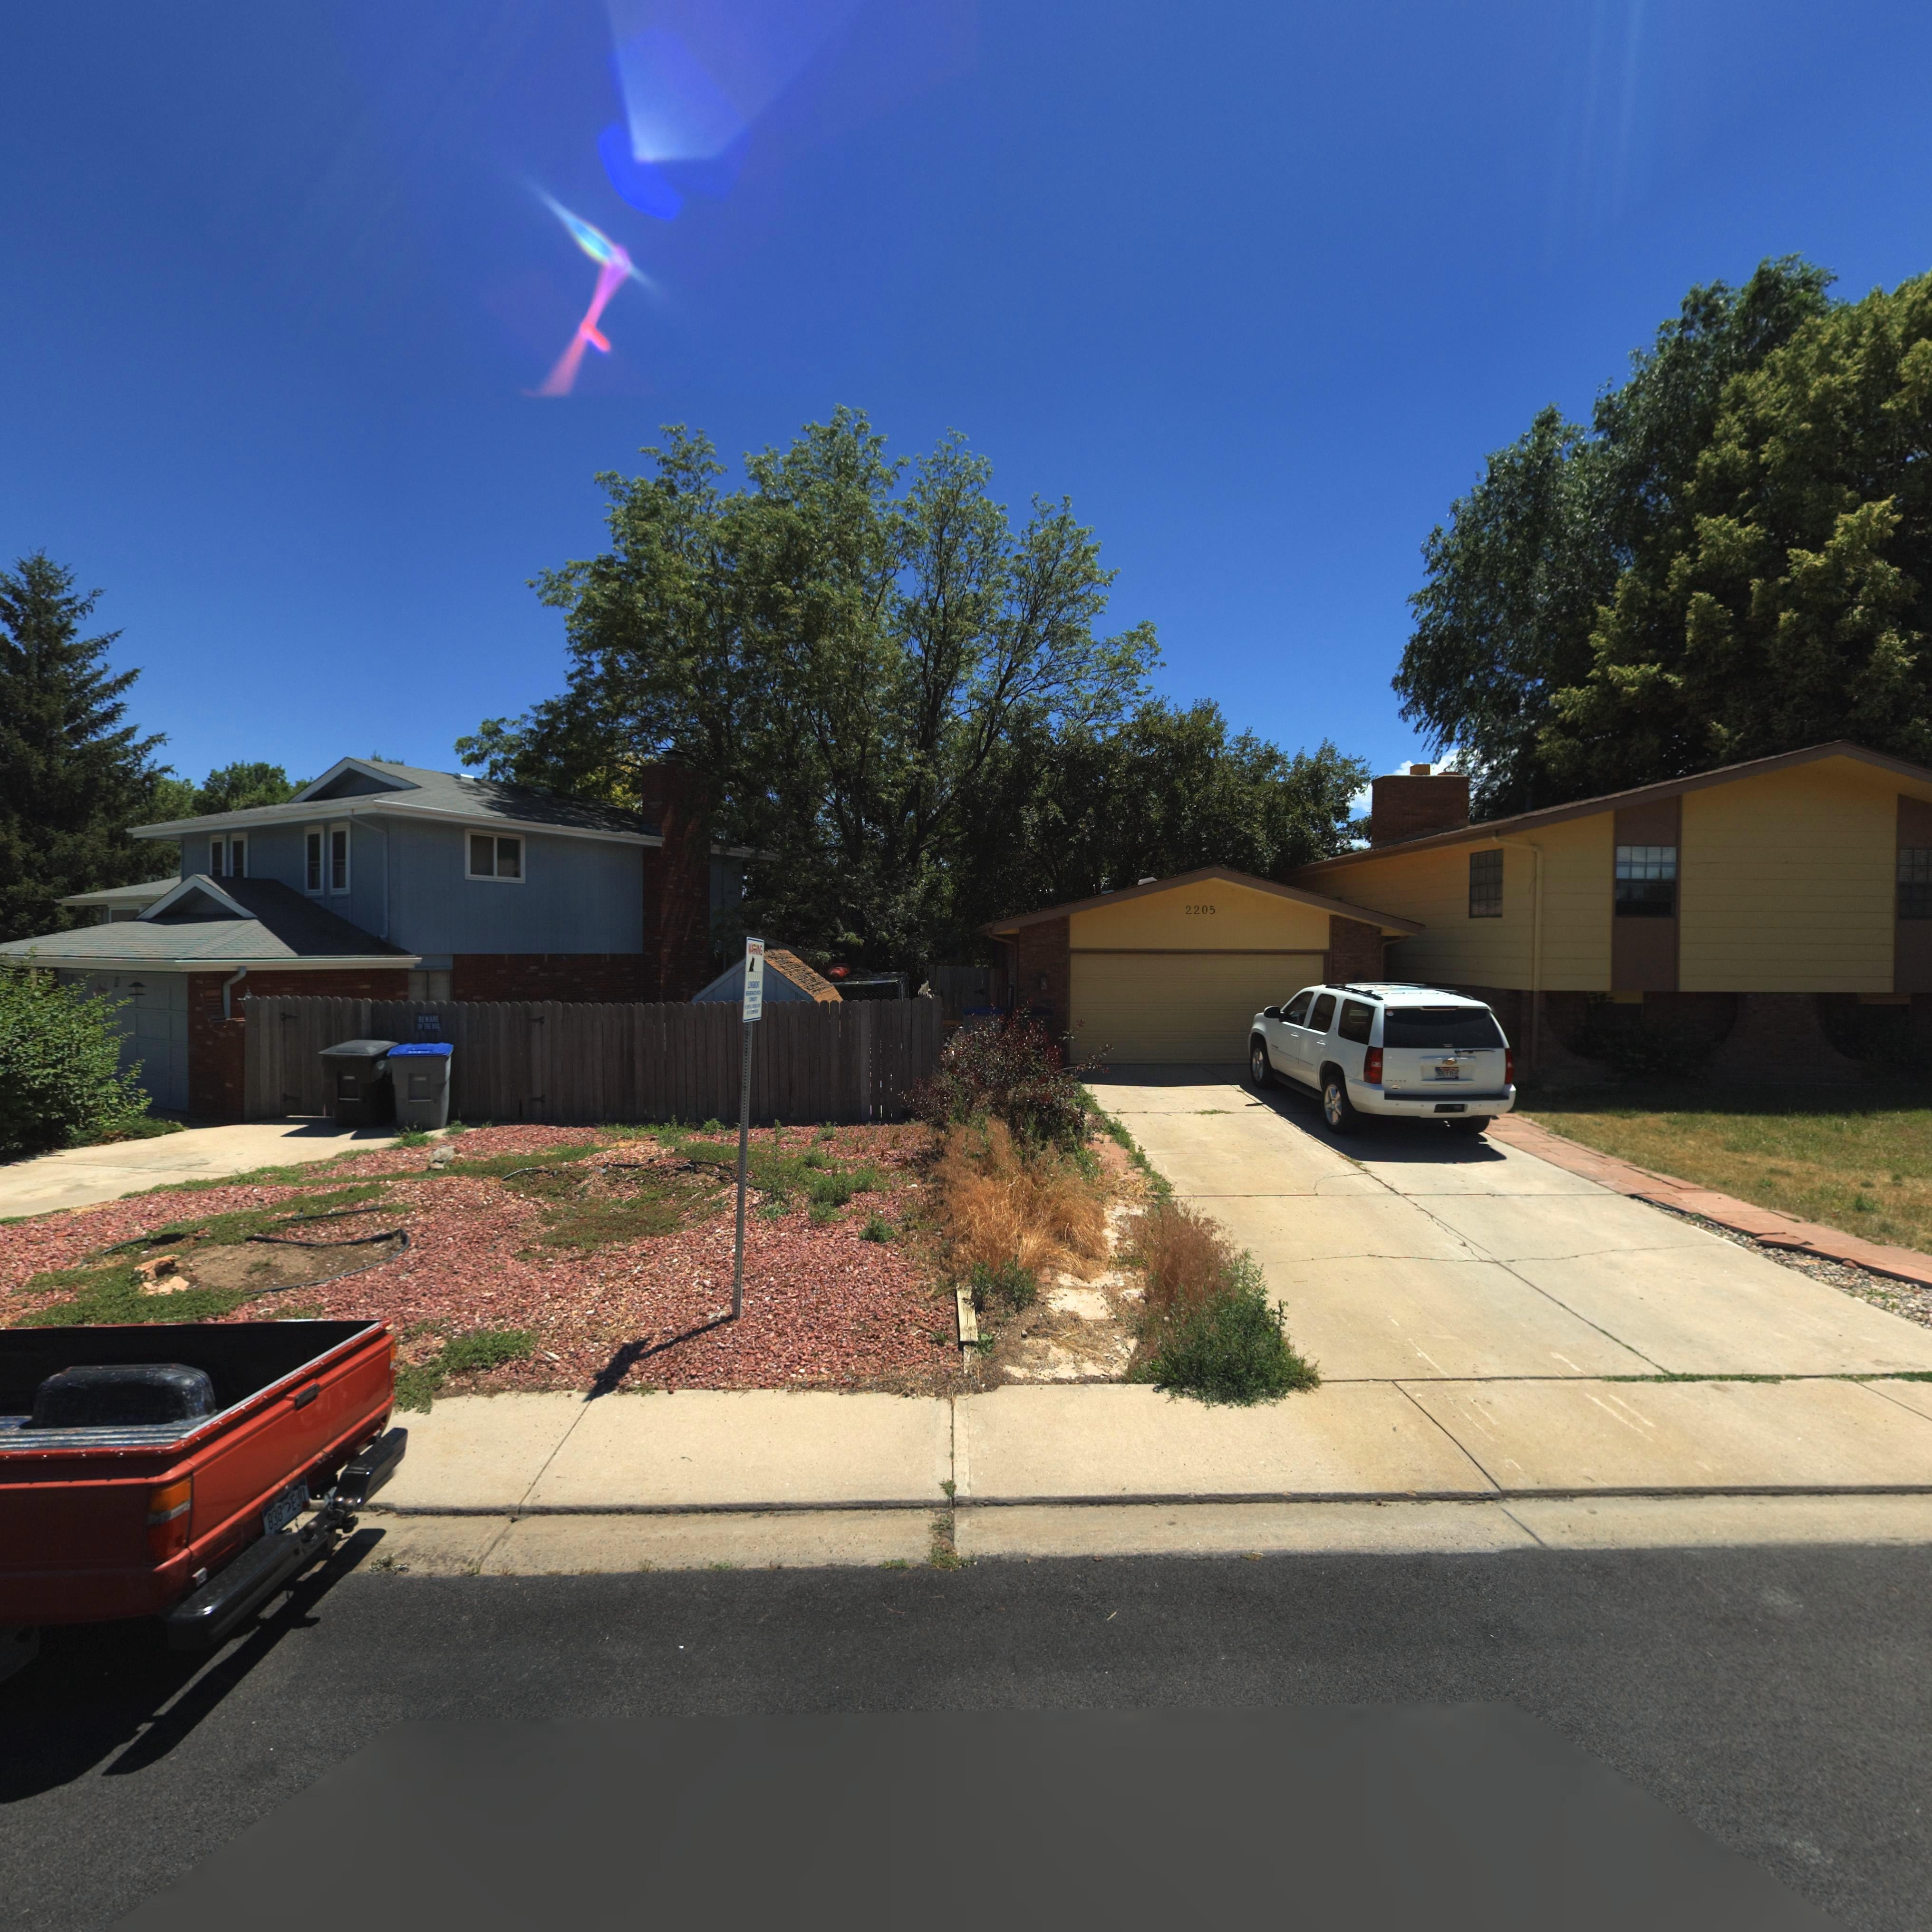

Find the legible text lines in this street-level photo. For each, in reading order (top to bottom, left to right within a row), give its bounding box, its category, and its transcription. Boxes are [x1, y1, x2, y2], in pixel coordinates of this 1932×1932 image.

[1183, 904, 1217, 915] StreetNumber: 2205